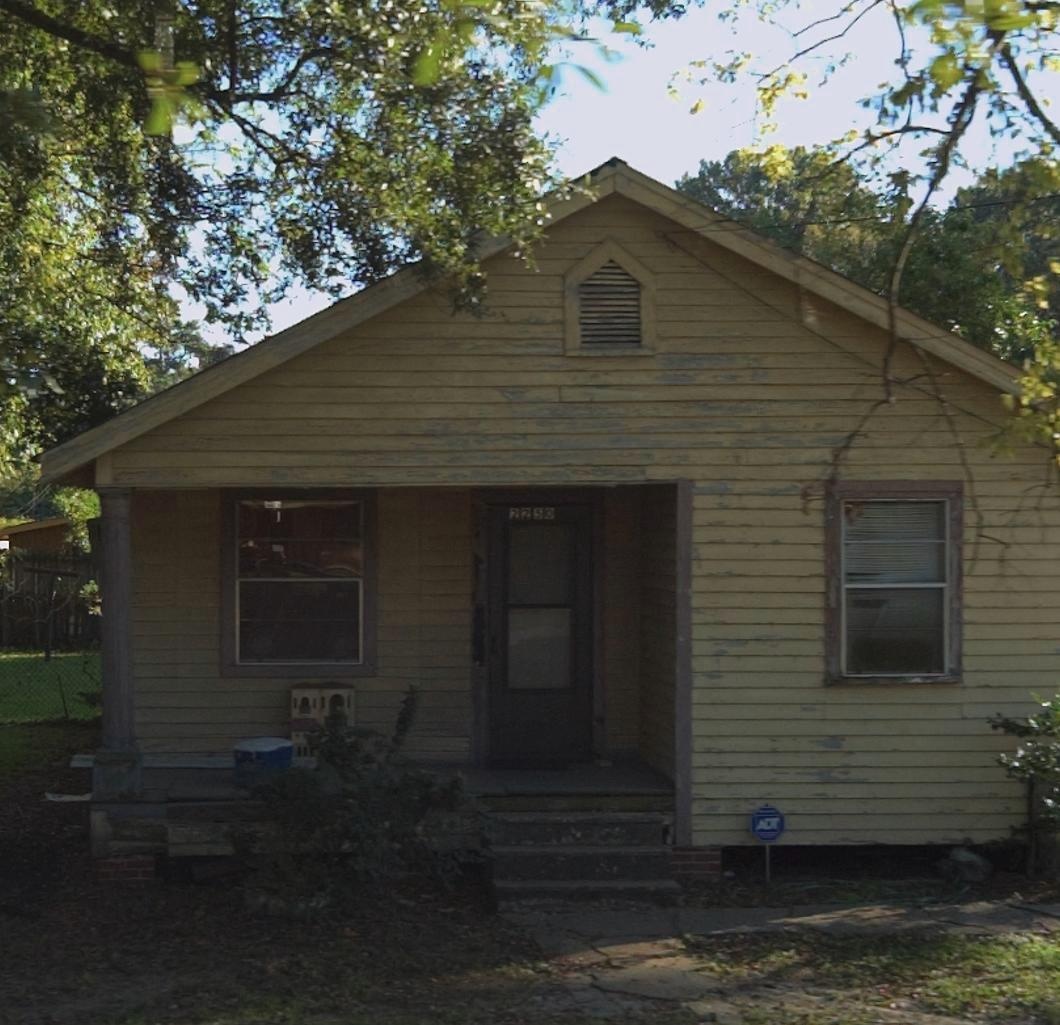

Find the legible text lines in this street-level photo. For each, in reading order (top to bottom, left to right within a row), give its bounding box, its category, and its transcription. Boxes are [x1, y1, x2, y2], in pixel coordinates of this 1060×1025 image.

[510, 507, 554, 520] StreetNumber: 2250
[754, 817, 781, 831] None: ADT